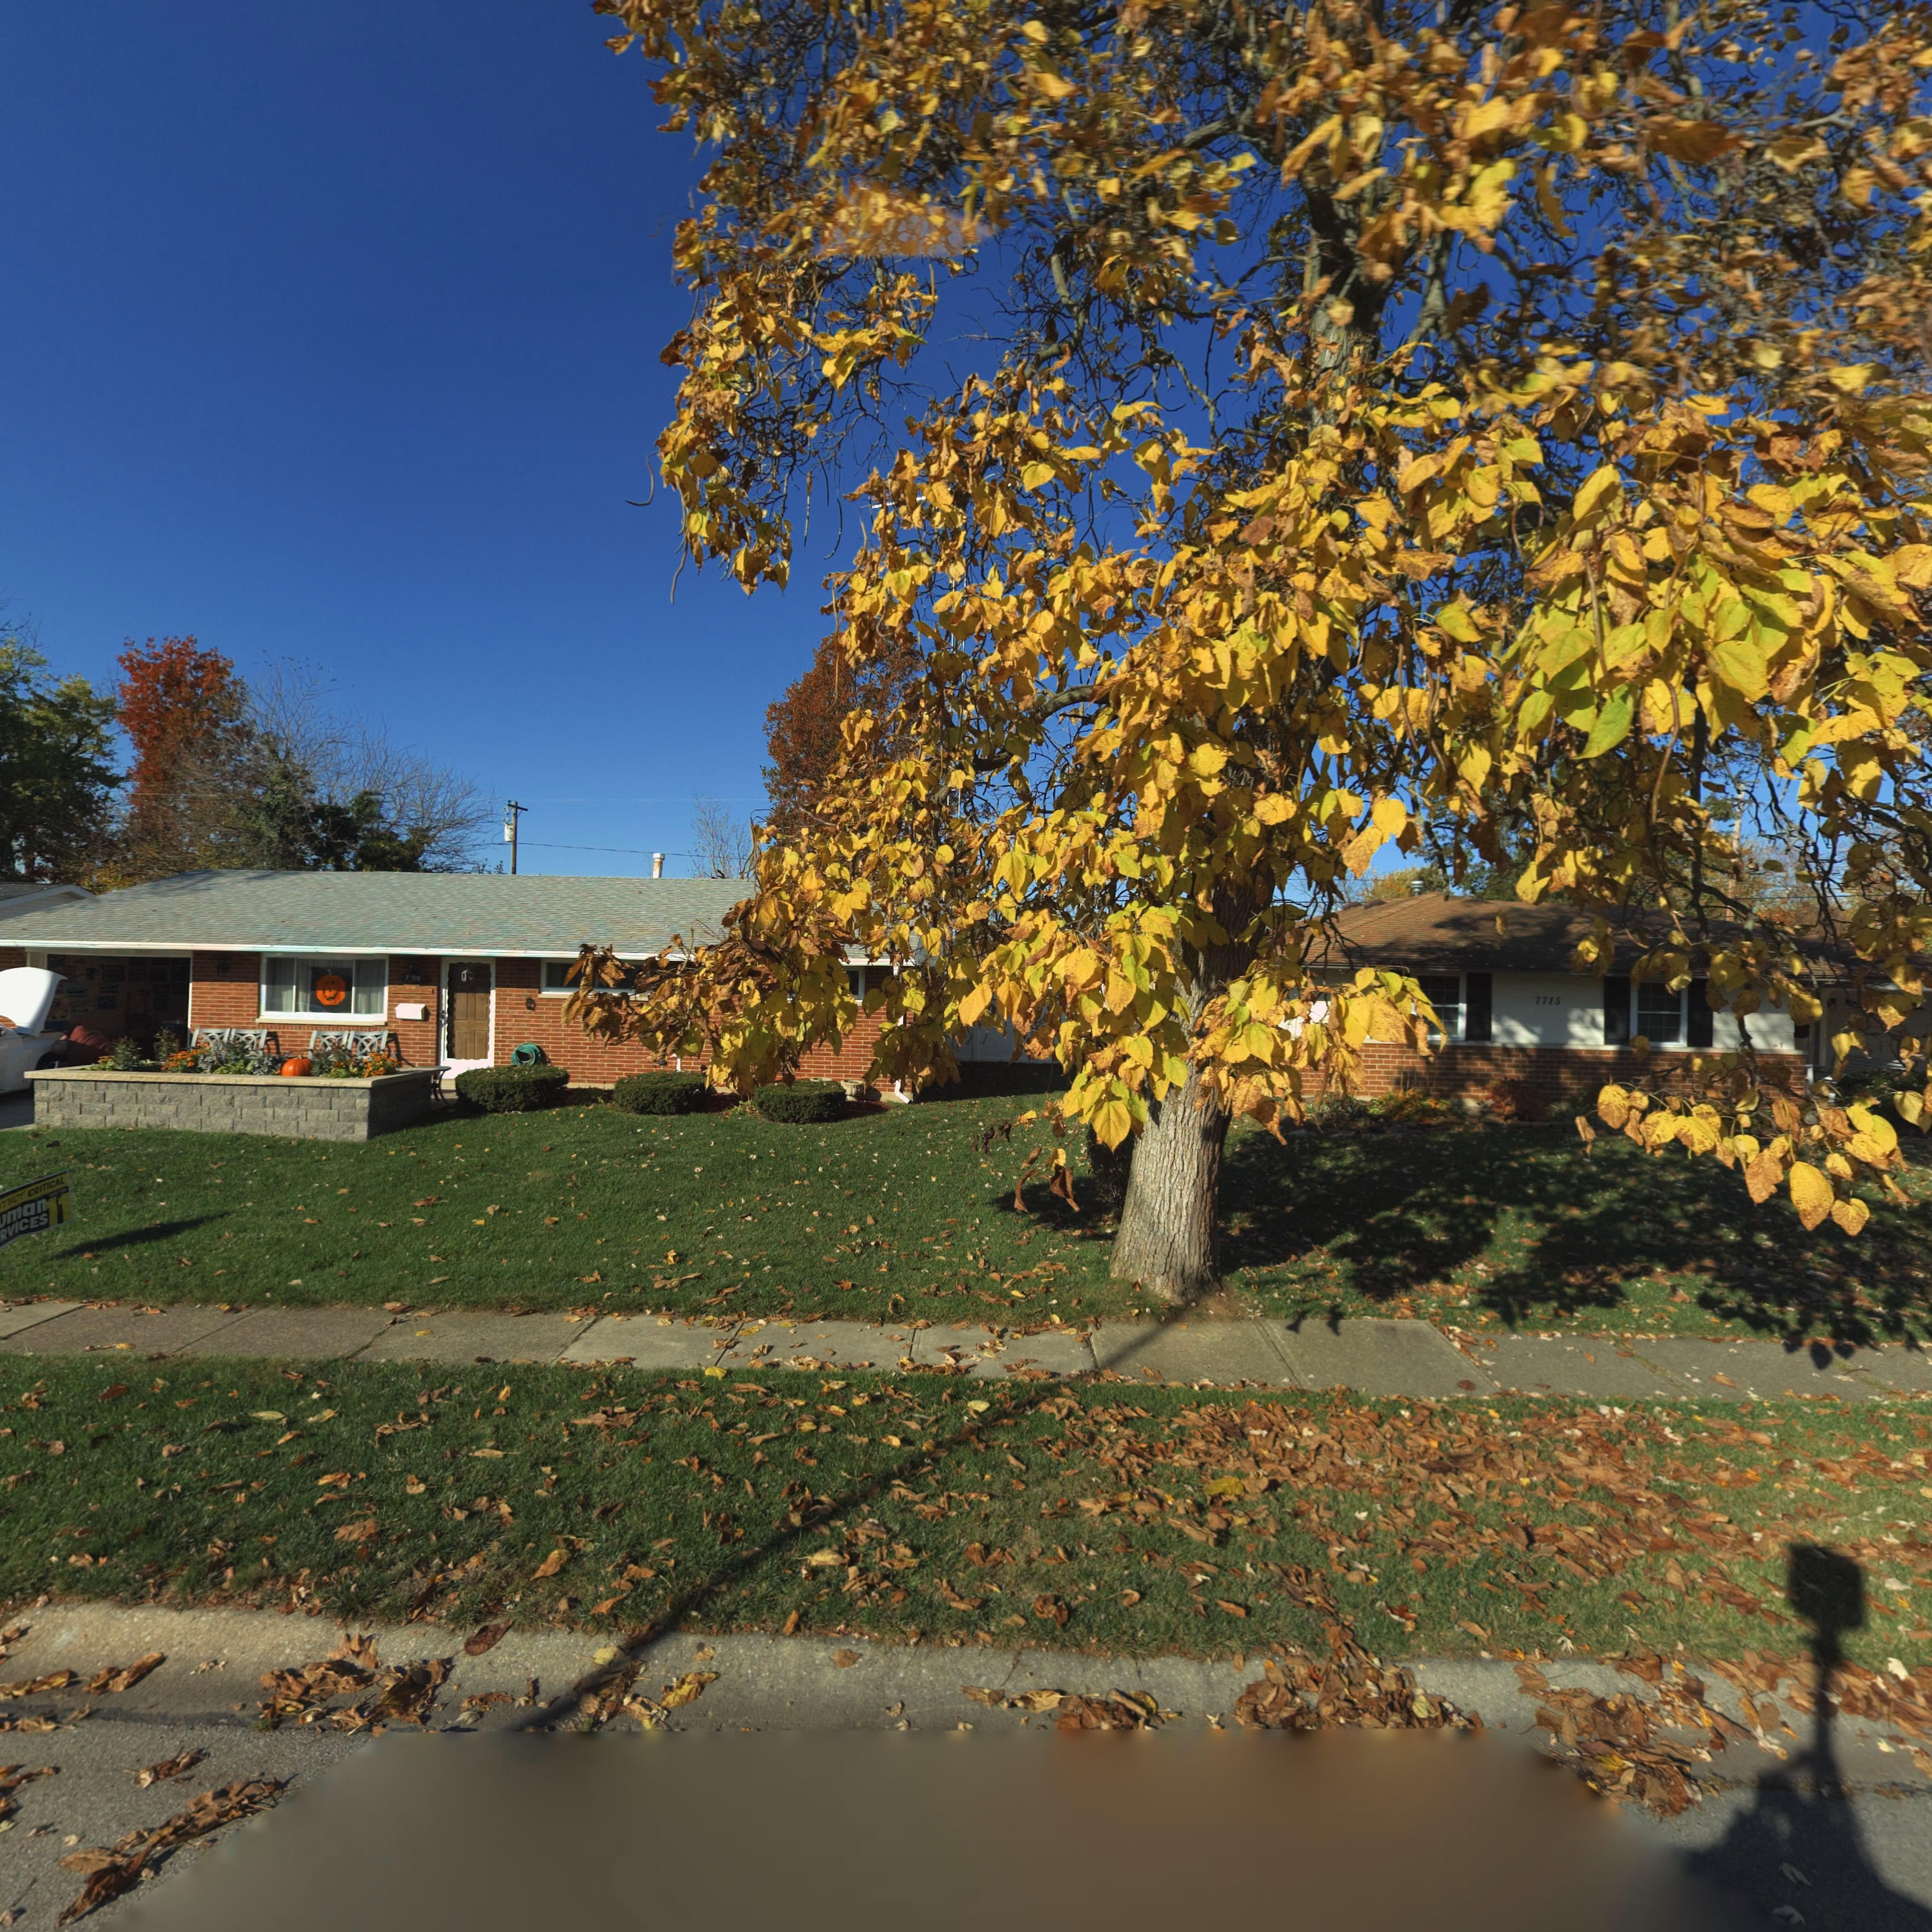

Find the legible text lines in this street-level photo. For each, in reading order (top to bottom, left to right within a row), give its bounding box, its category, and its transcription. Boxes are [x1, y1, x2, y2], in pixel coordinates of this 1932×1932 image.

[404, 974, 422, 983] StreetNumber: 7*09
[1534, 995, 1562, 1006] StreetNumber: 7715